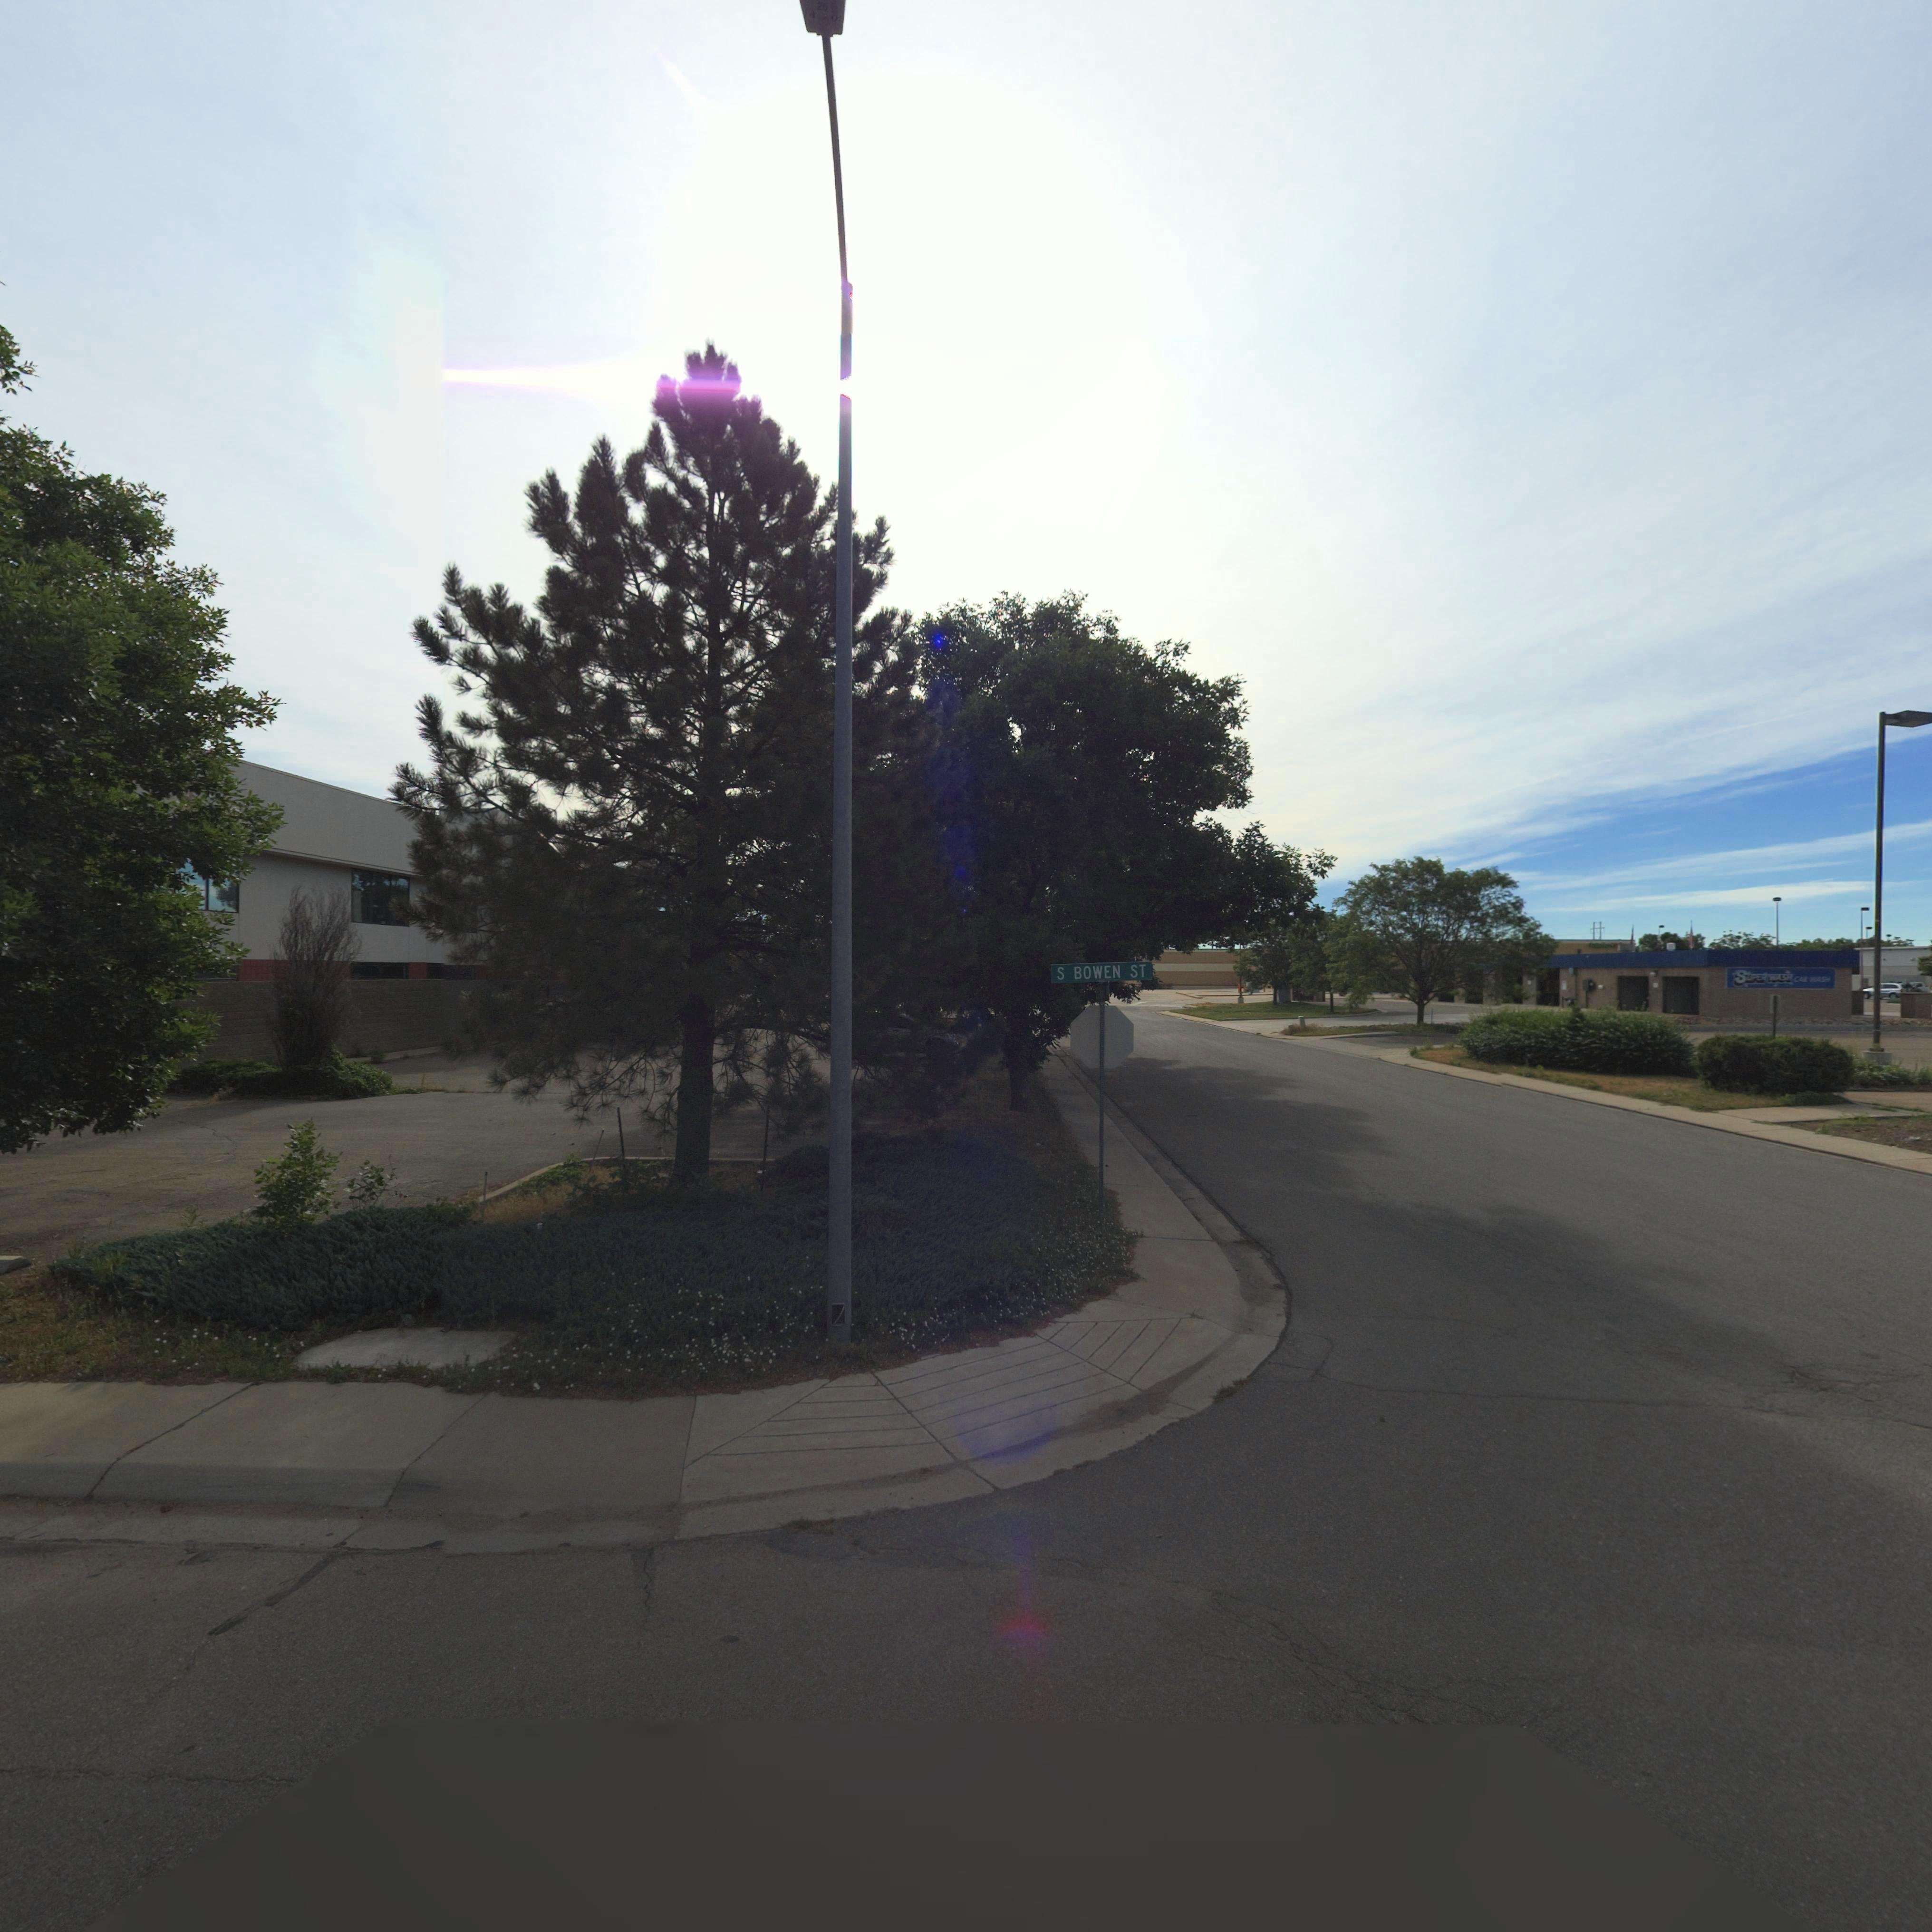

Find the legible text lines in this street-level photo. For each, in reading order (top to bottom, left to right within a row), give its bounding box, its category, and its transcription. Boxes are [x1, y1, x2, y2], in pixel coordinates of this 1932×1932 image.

[1055, 963, 1147, 980] StreetName: S BOWEN ST
[1734, 969, 1831, 984] BusinessName: SUPE* *ASH CA* **SH